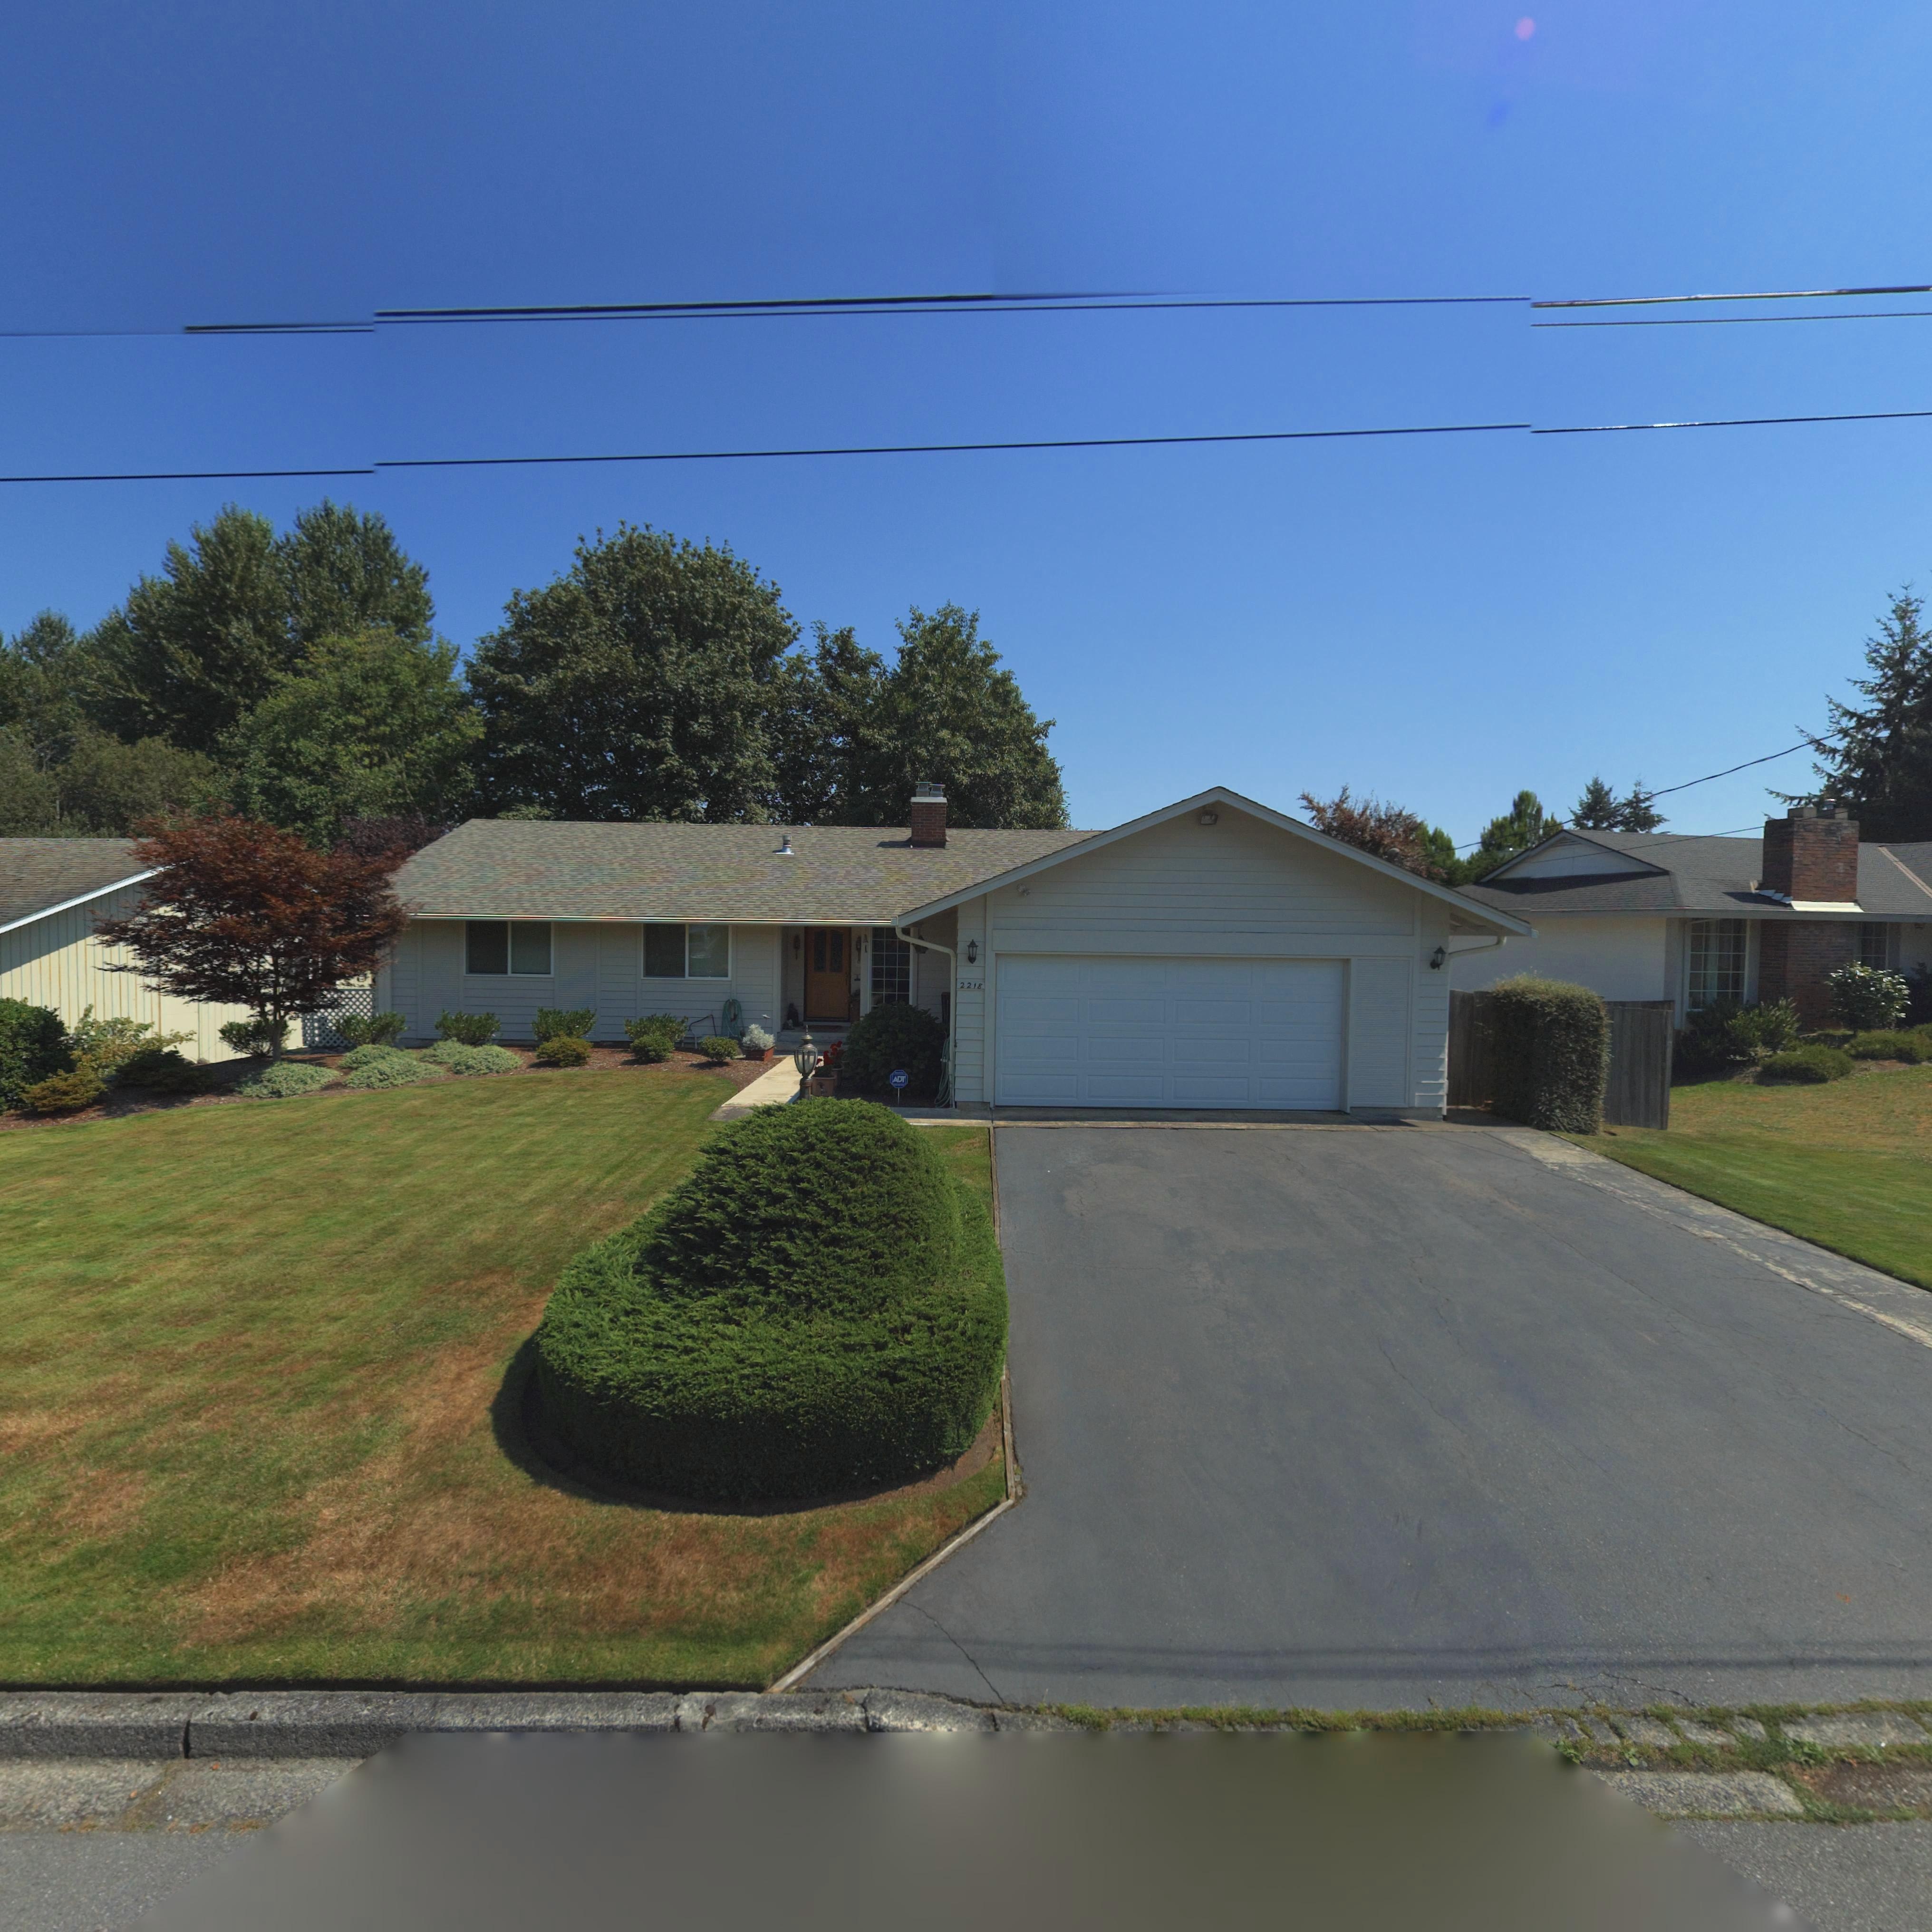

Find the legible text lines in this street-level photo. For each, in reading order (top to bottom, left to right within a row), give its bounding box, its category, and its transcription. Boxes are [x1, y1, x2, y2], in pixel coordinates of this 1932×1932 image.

[958, 976, 984, 990] StreetNumber: 2218